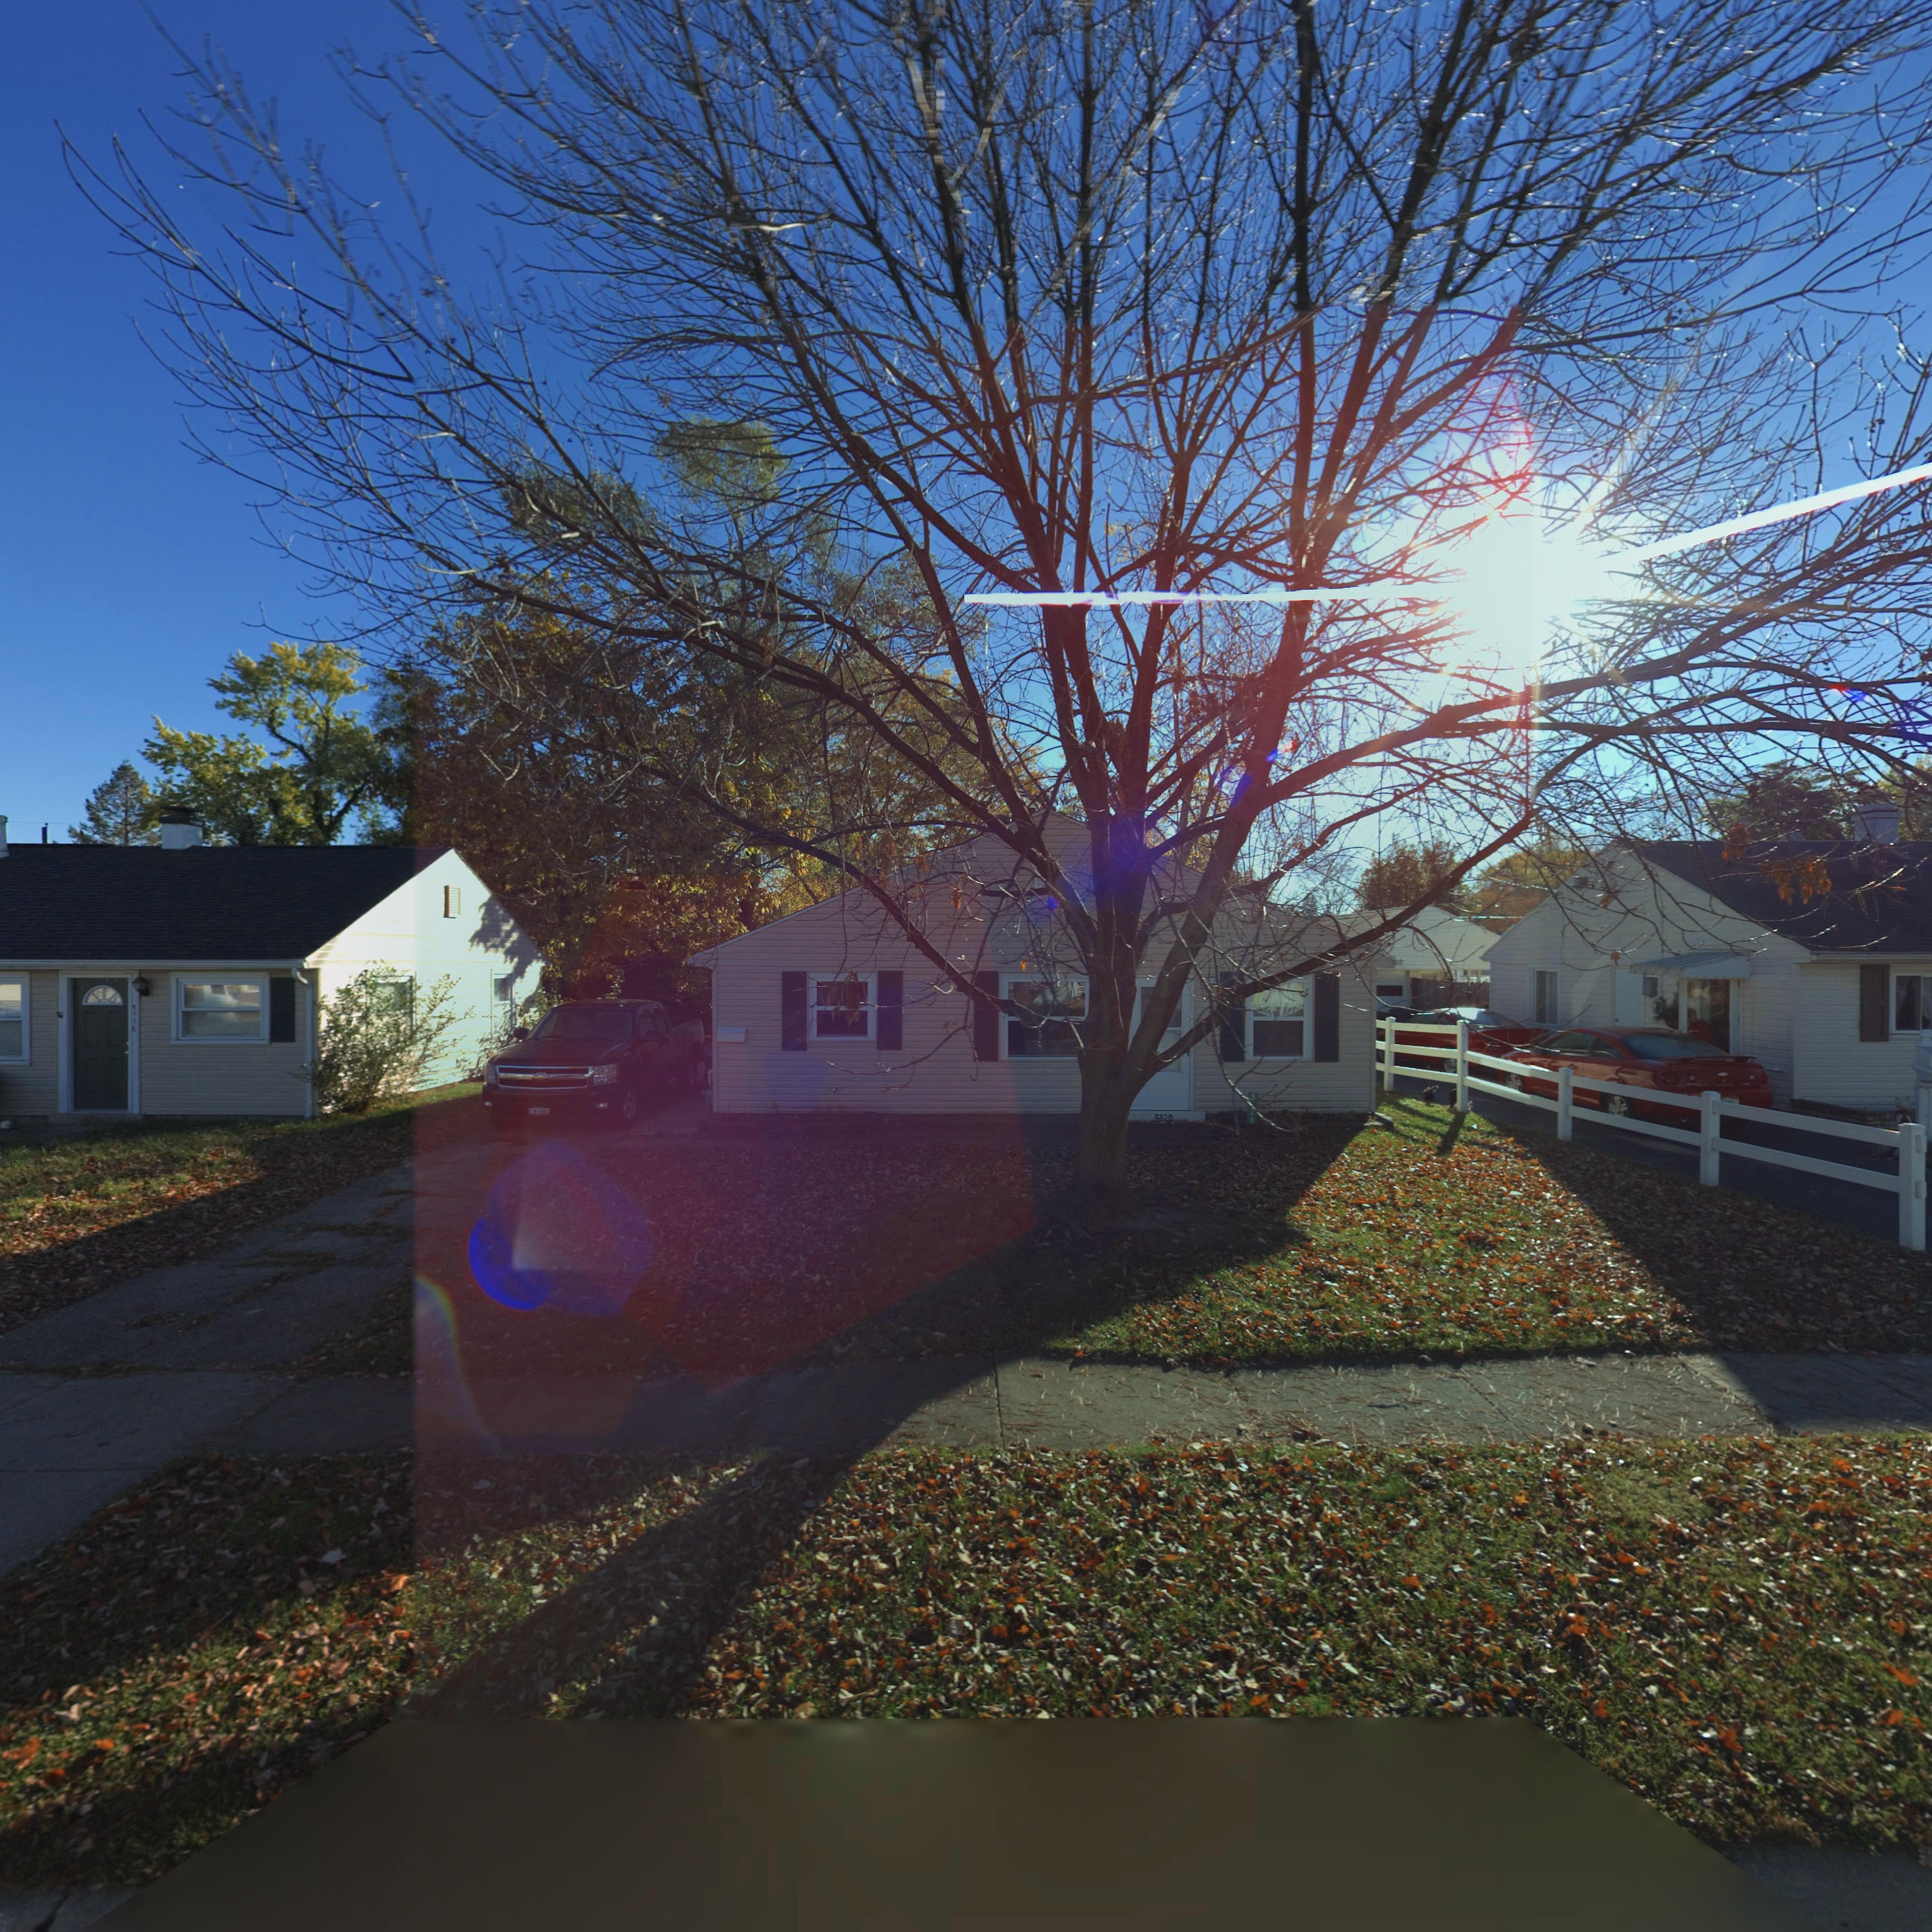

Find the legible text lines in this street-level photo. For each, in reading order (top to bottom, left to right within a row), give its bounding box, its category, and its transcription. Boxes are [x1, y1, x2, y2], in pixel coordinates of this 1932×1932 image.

[130, 1004, 137, 1033] StreetNumber: 5116
[1154, 1113, 1173, 1122] StreetNumber: 5120
[1249, 1093, 1256, 1124] StreetNumber: 5*20